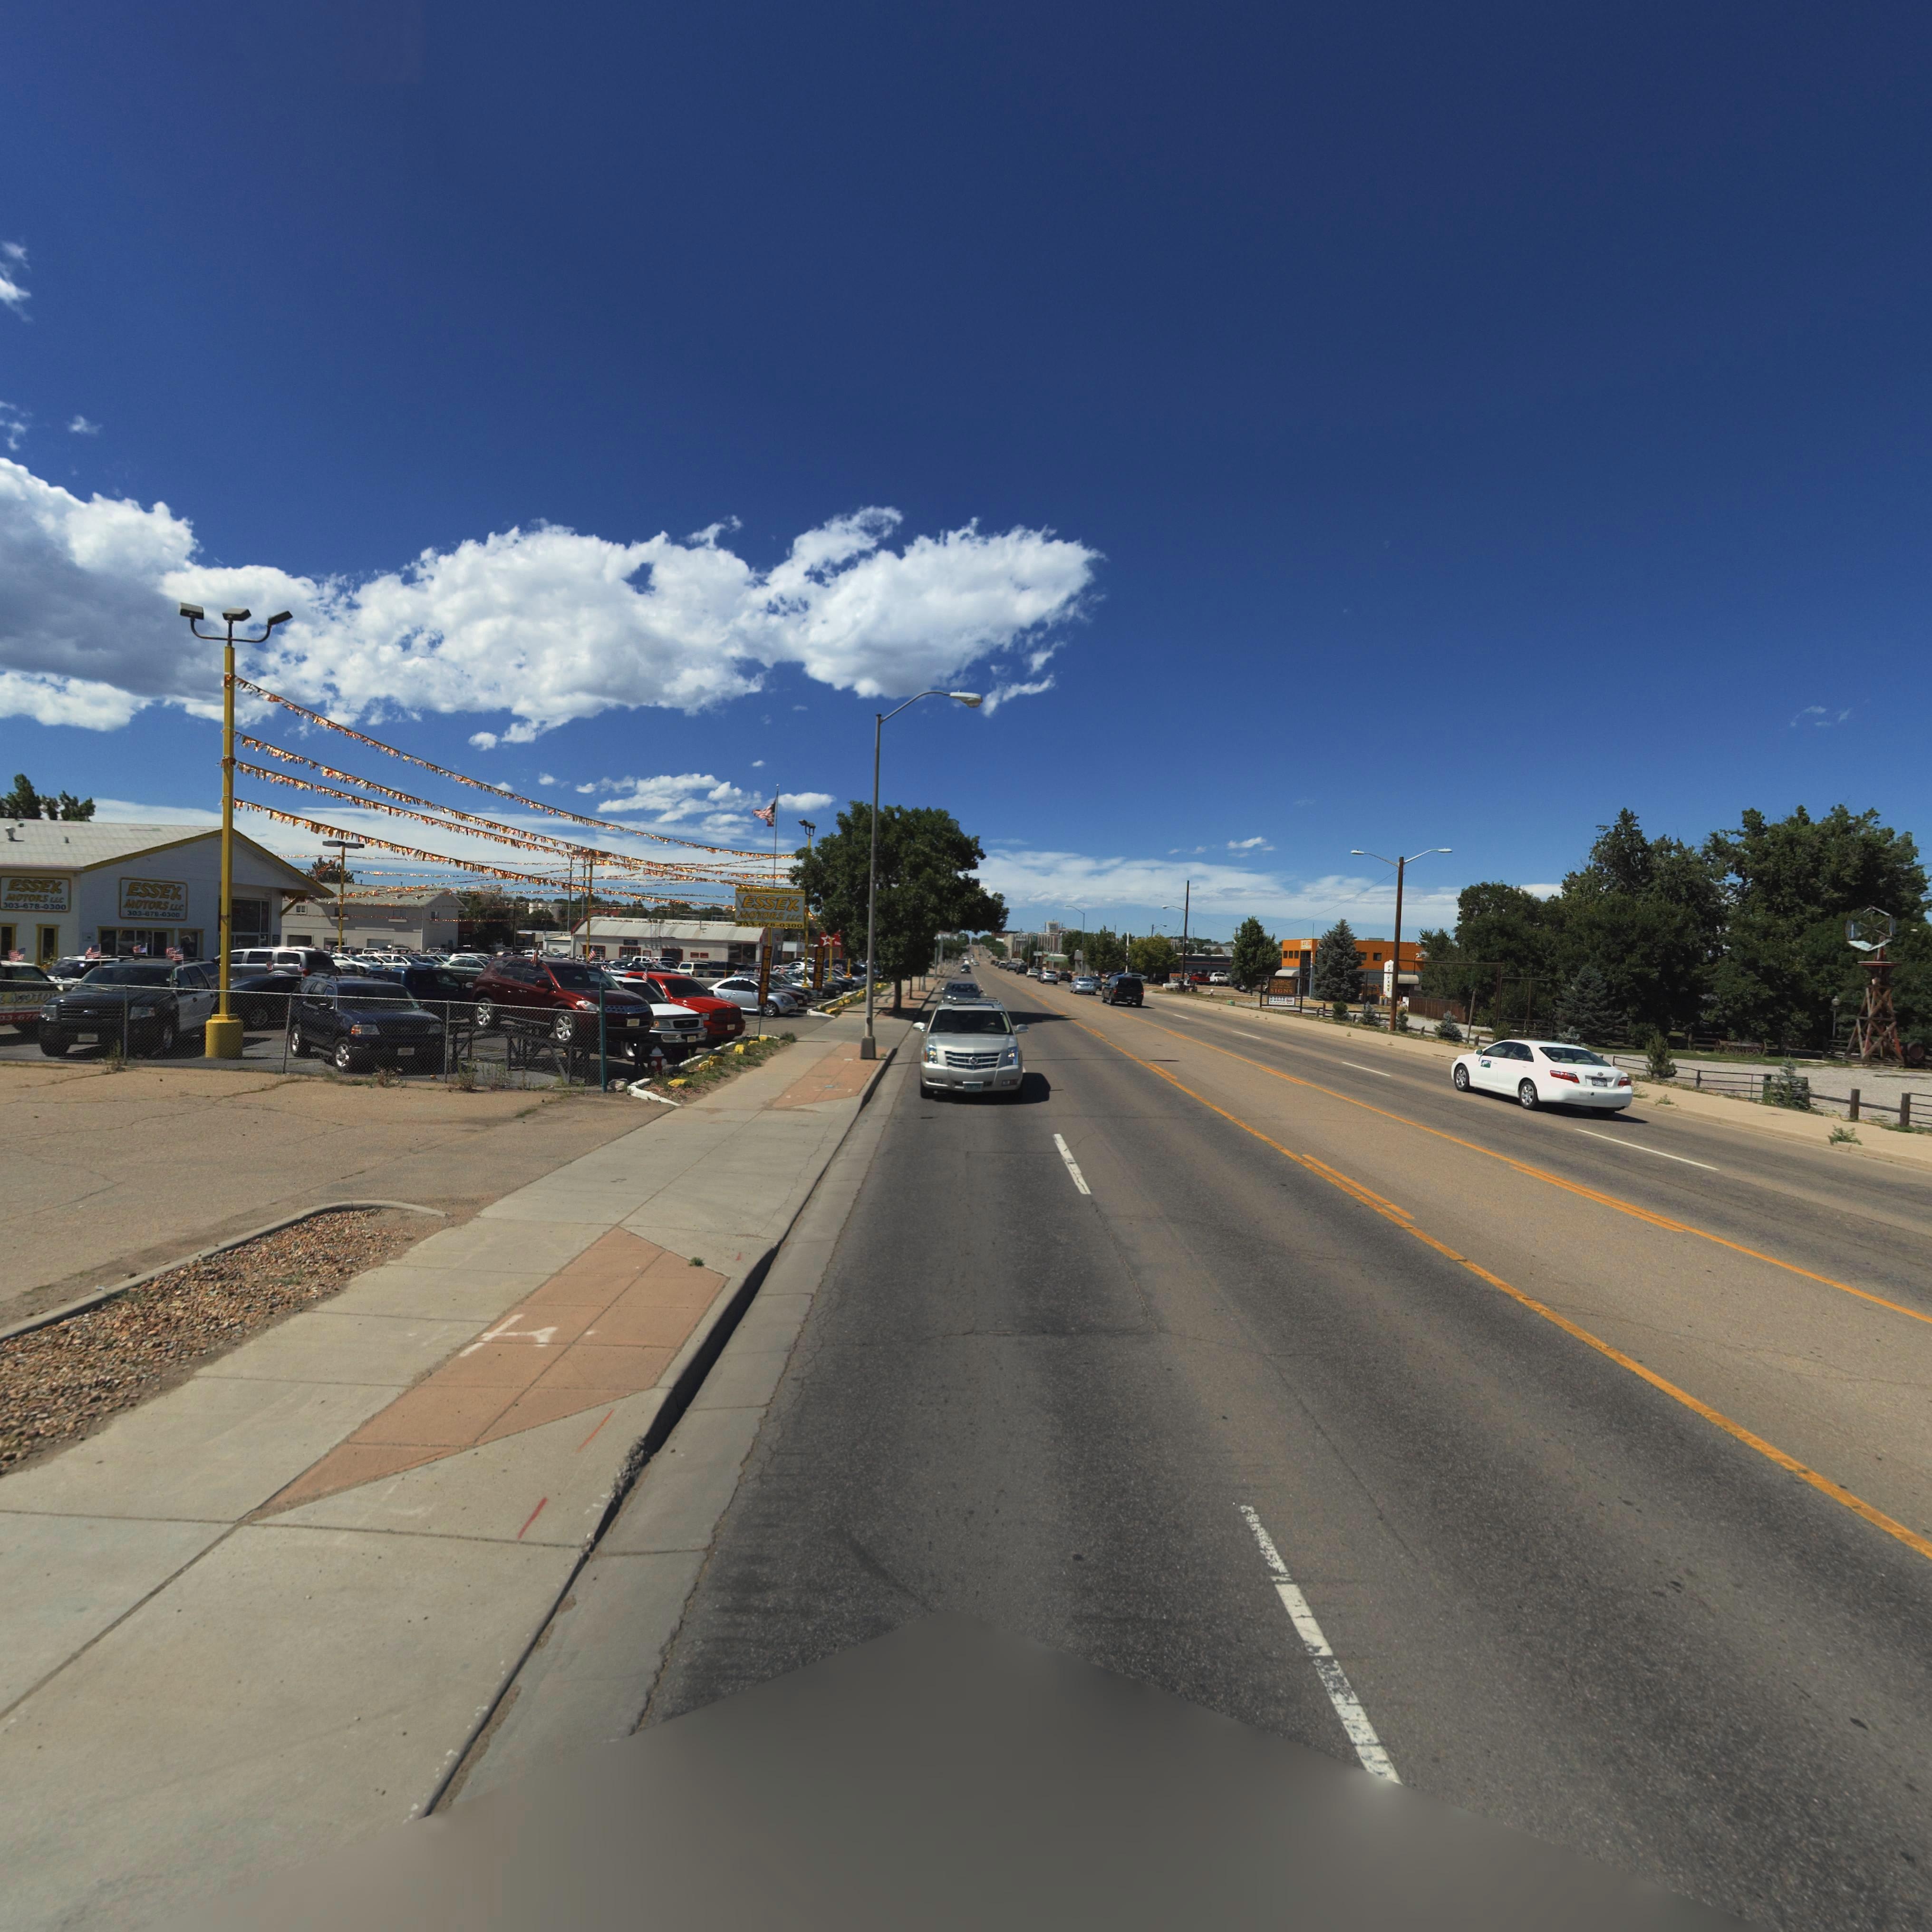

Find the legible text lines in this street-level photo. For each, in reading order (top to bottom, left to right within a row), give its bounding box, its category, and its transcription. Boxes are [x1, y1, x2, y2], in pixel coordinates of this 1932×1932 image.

[5, 878, 62, 894] BusinessName: ESSEX
[125, 881, 183, 900] BusinessName: ESSEX
[3, 892, 65, 903] BusinessName: MOTORS LLC
[4, 902, 66, 910] PhoneNumber: 303478-030D
[121, 898, 184, 911] BusinessName: MOTORS LLC
[739, 895, 801, 912] BusinessName: ESSEX
[736, 910, 802, 922] BusinessName: MOTORS LLC
[1269, 996, 1285, 1001] BusinessName: D*BARN